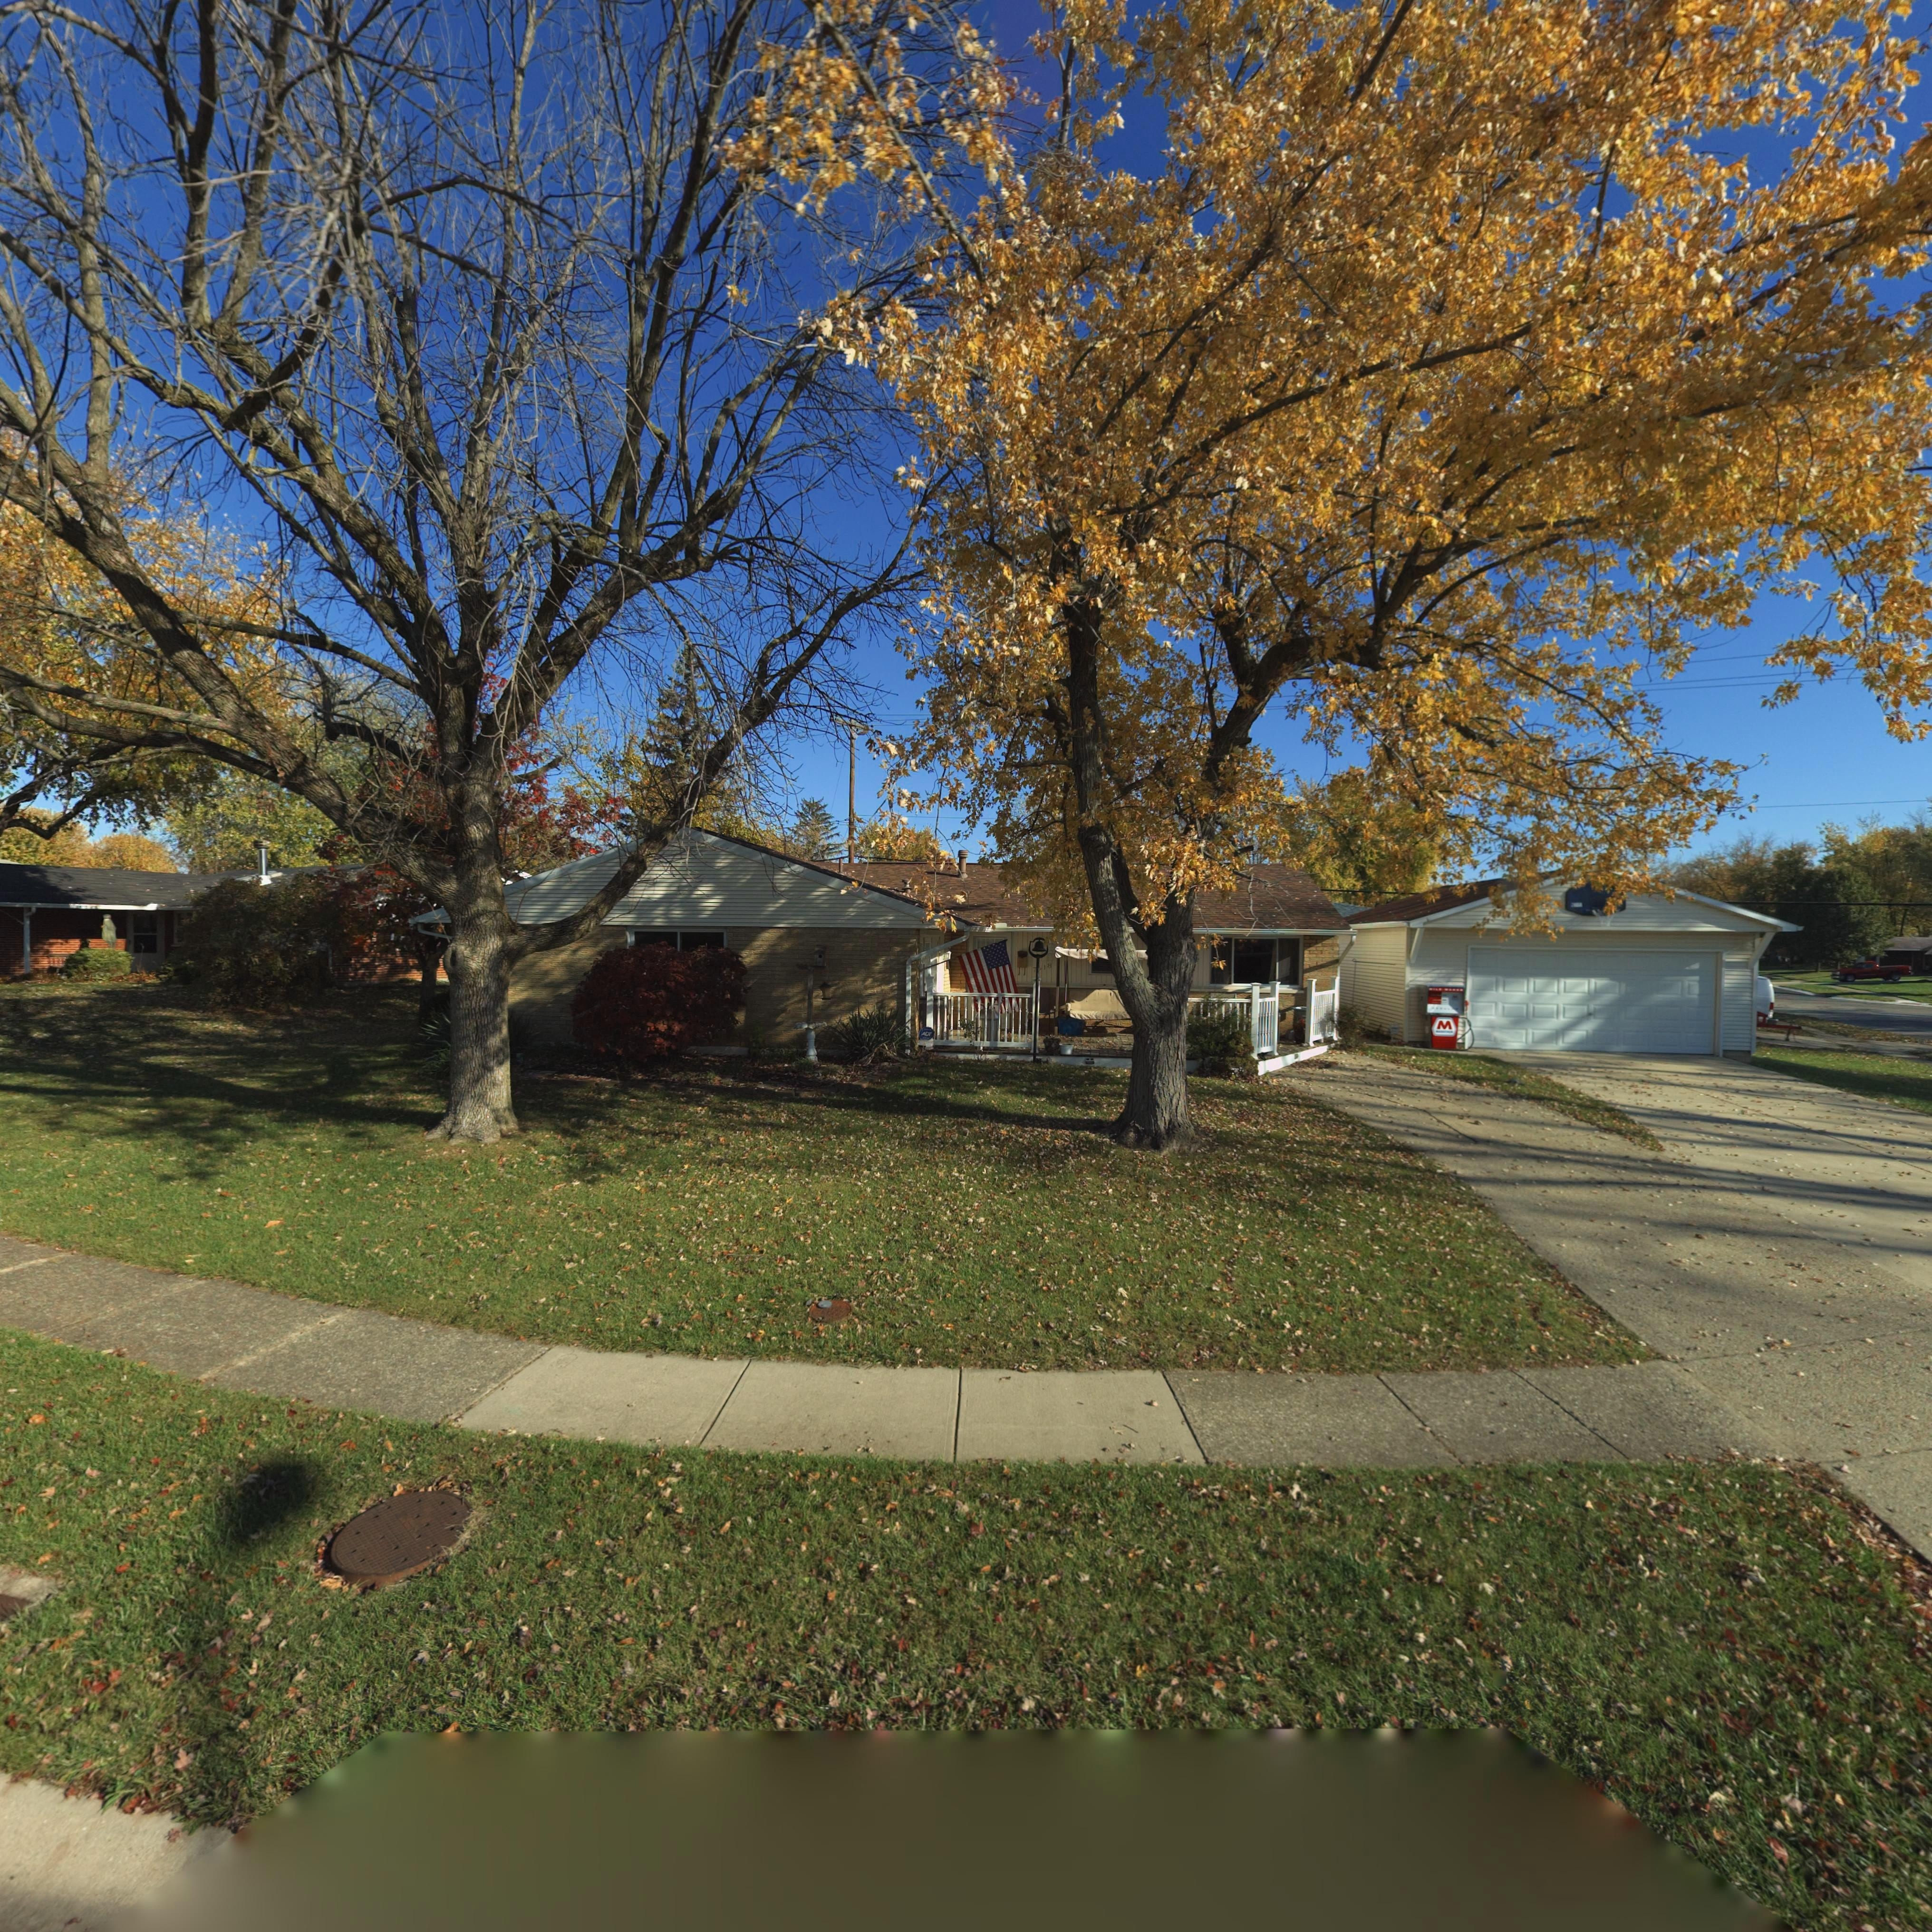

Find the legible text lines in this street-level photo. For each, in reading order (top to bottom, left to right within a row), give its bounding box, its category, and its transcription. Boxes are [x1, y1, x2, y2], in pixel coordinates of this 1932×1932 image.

[1031, 962, 1053, 974] StreetNumber: 7*18